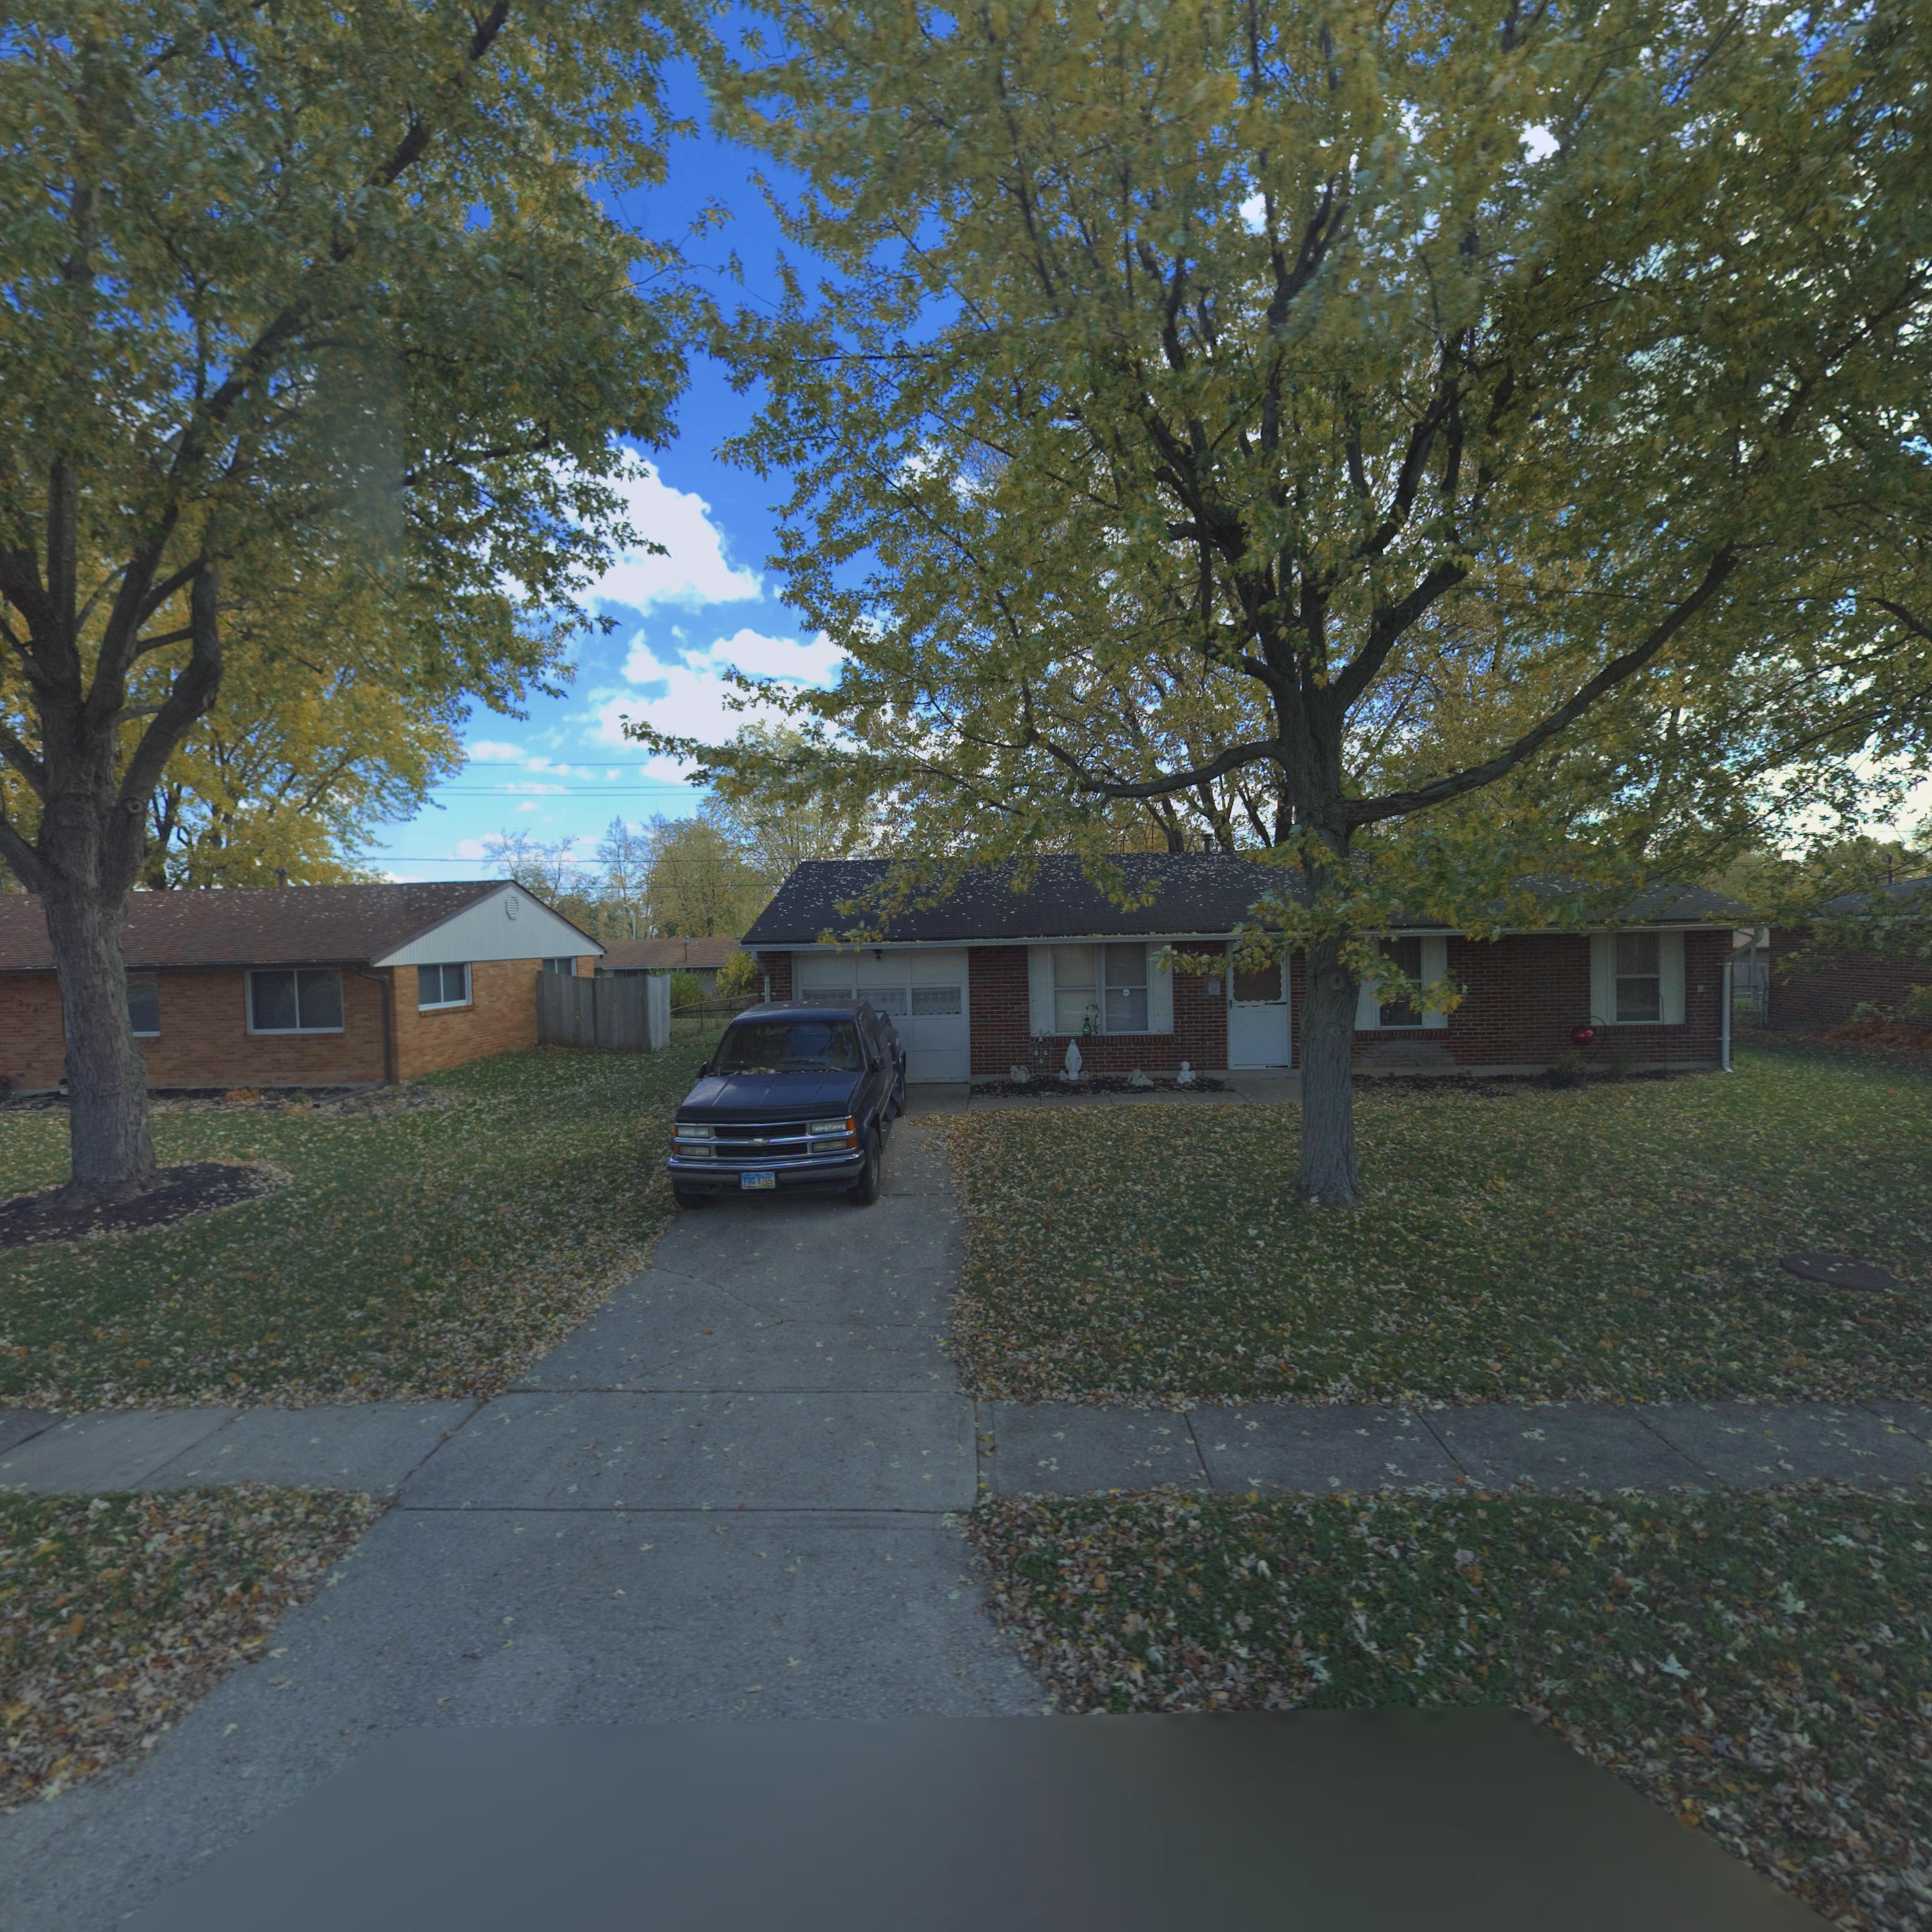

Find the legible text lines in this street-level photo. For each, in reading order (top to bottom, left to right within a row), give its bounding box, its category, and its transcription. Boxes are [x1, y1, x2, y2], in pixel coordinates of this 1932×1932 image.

[9, 995, 40, 1014] StreetNumber: 7*79